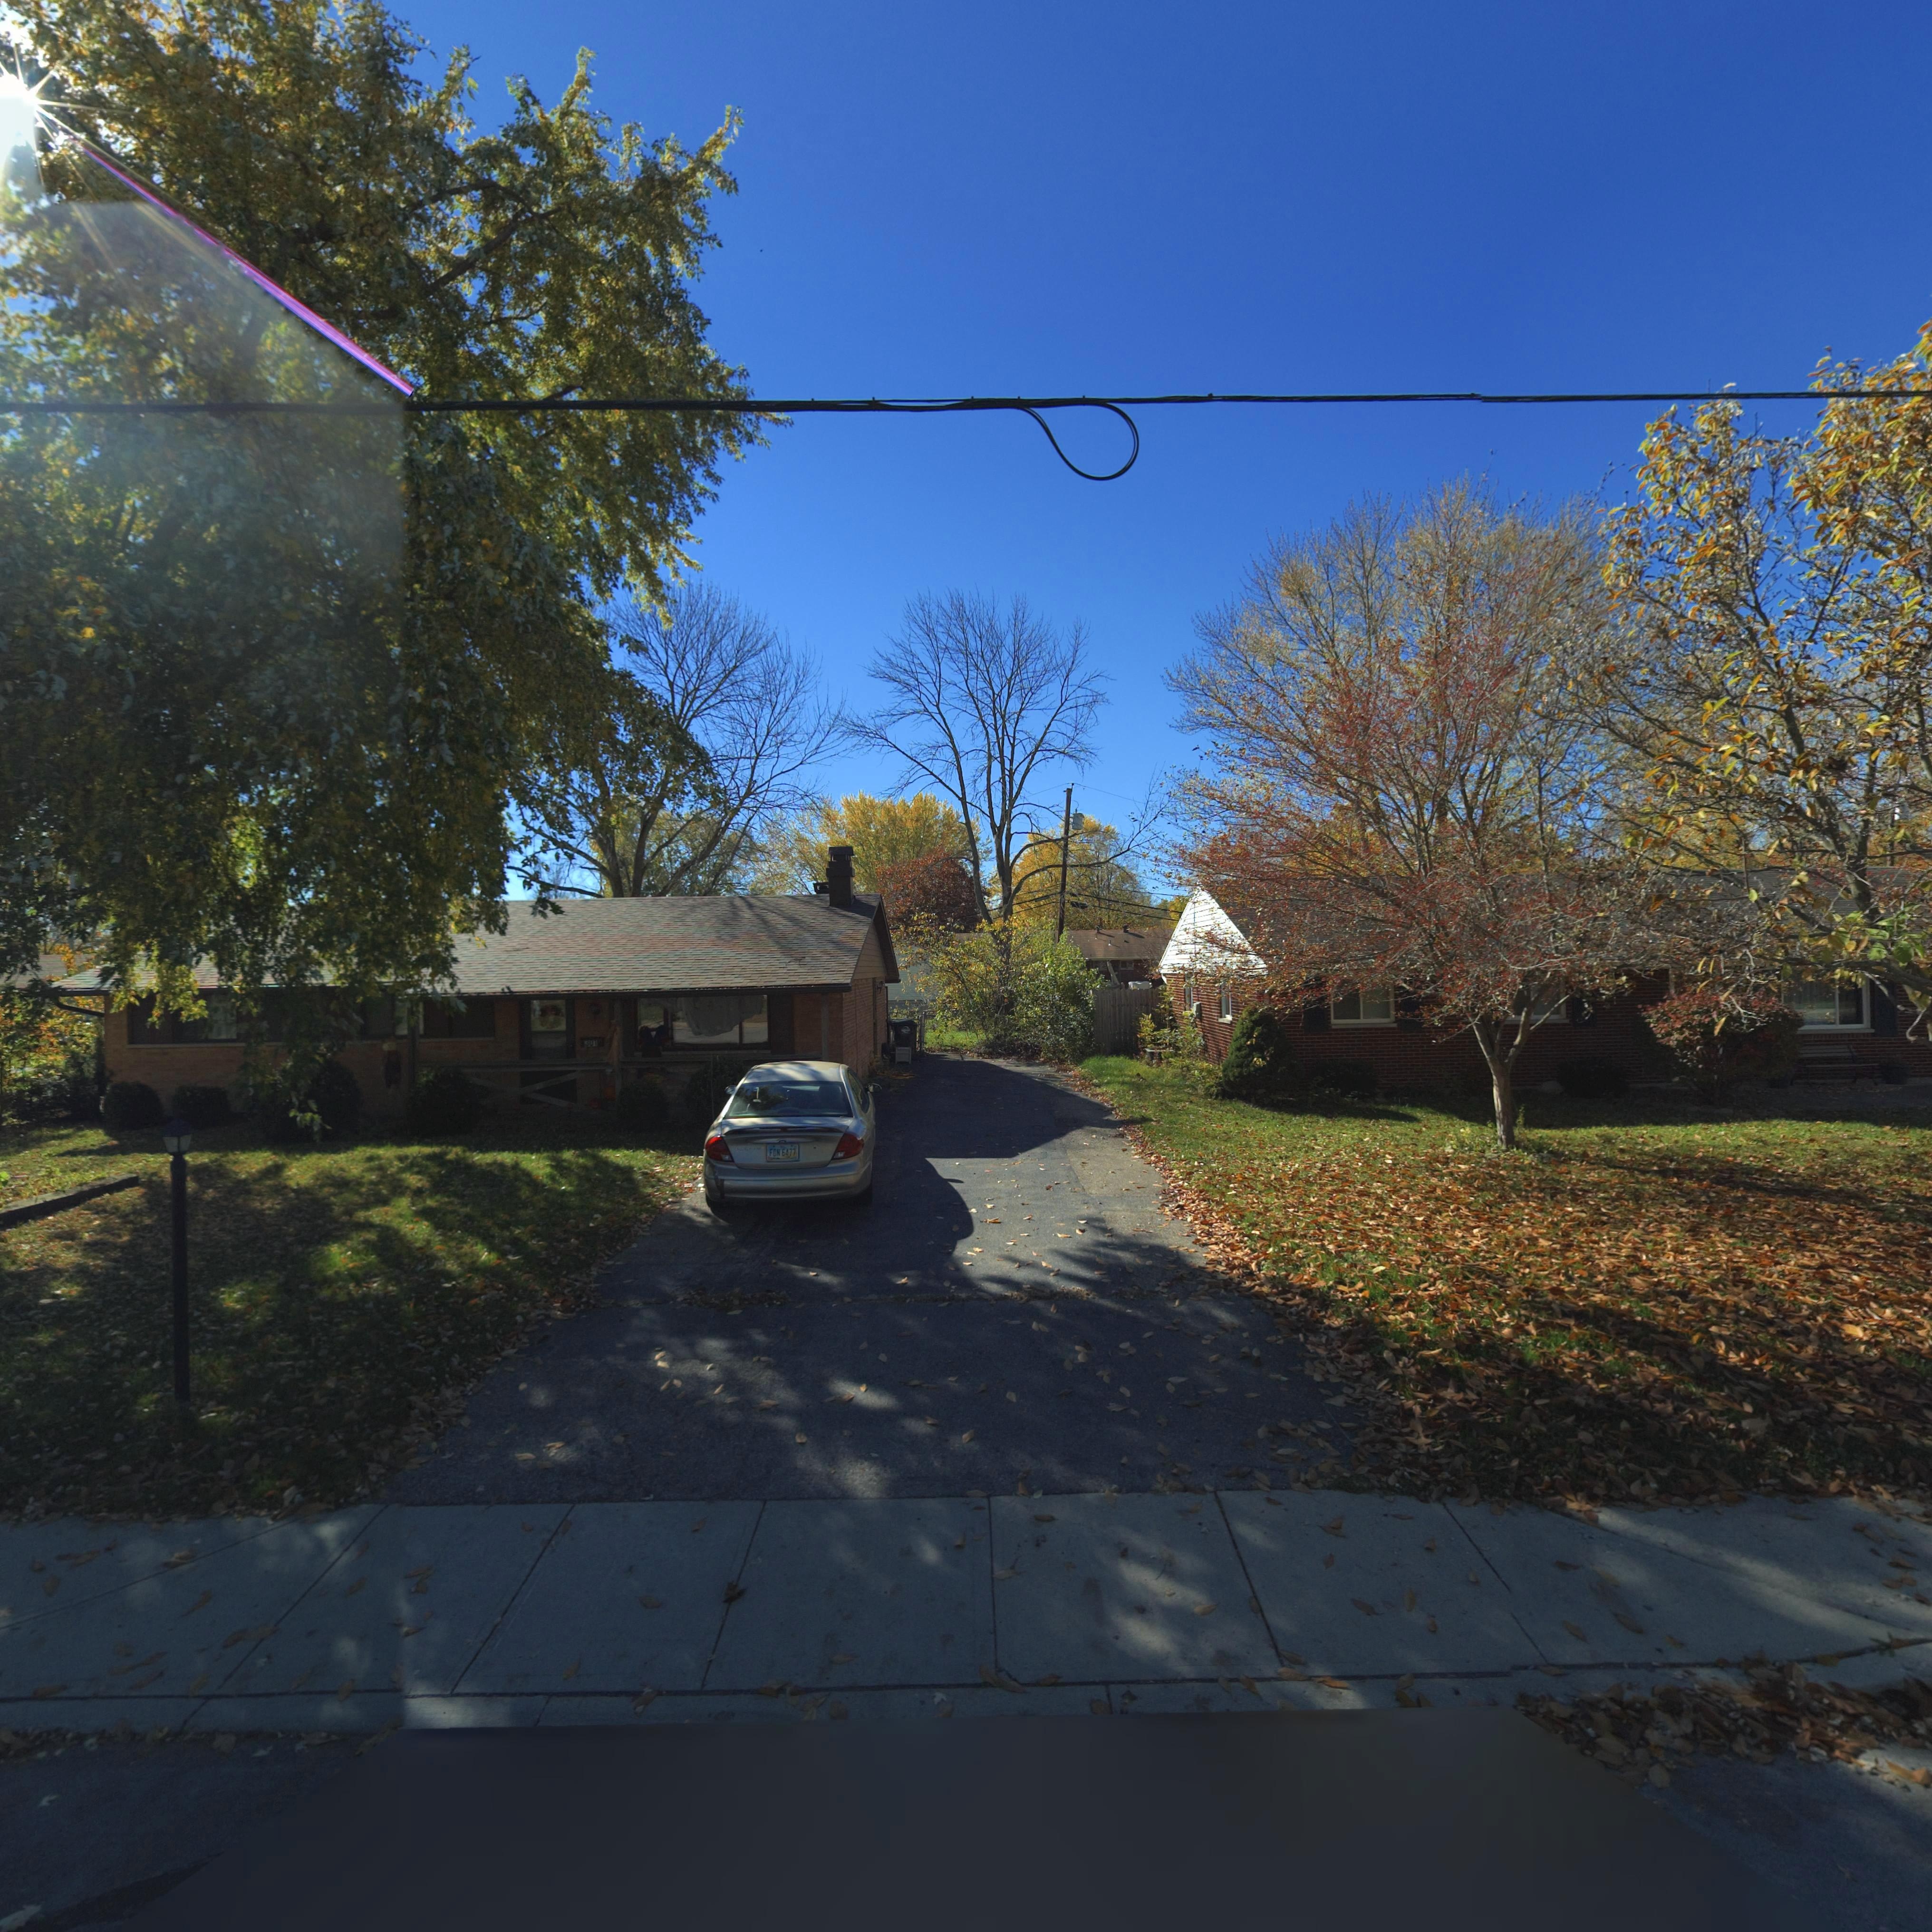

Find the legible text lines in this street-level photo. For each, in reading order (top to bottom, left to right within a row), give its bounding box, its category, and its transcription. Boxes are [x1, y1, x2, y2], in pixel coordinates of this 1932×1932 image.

[584, 1040, 597, 1046] StreetNumber: 301
[768, 1148, 797, 1158] None: FDN*6477